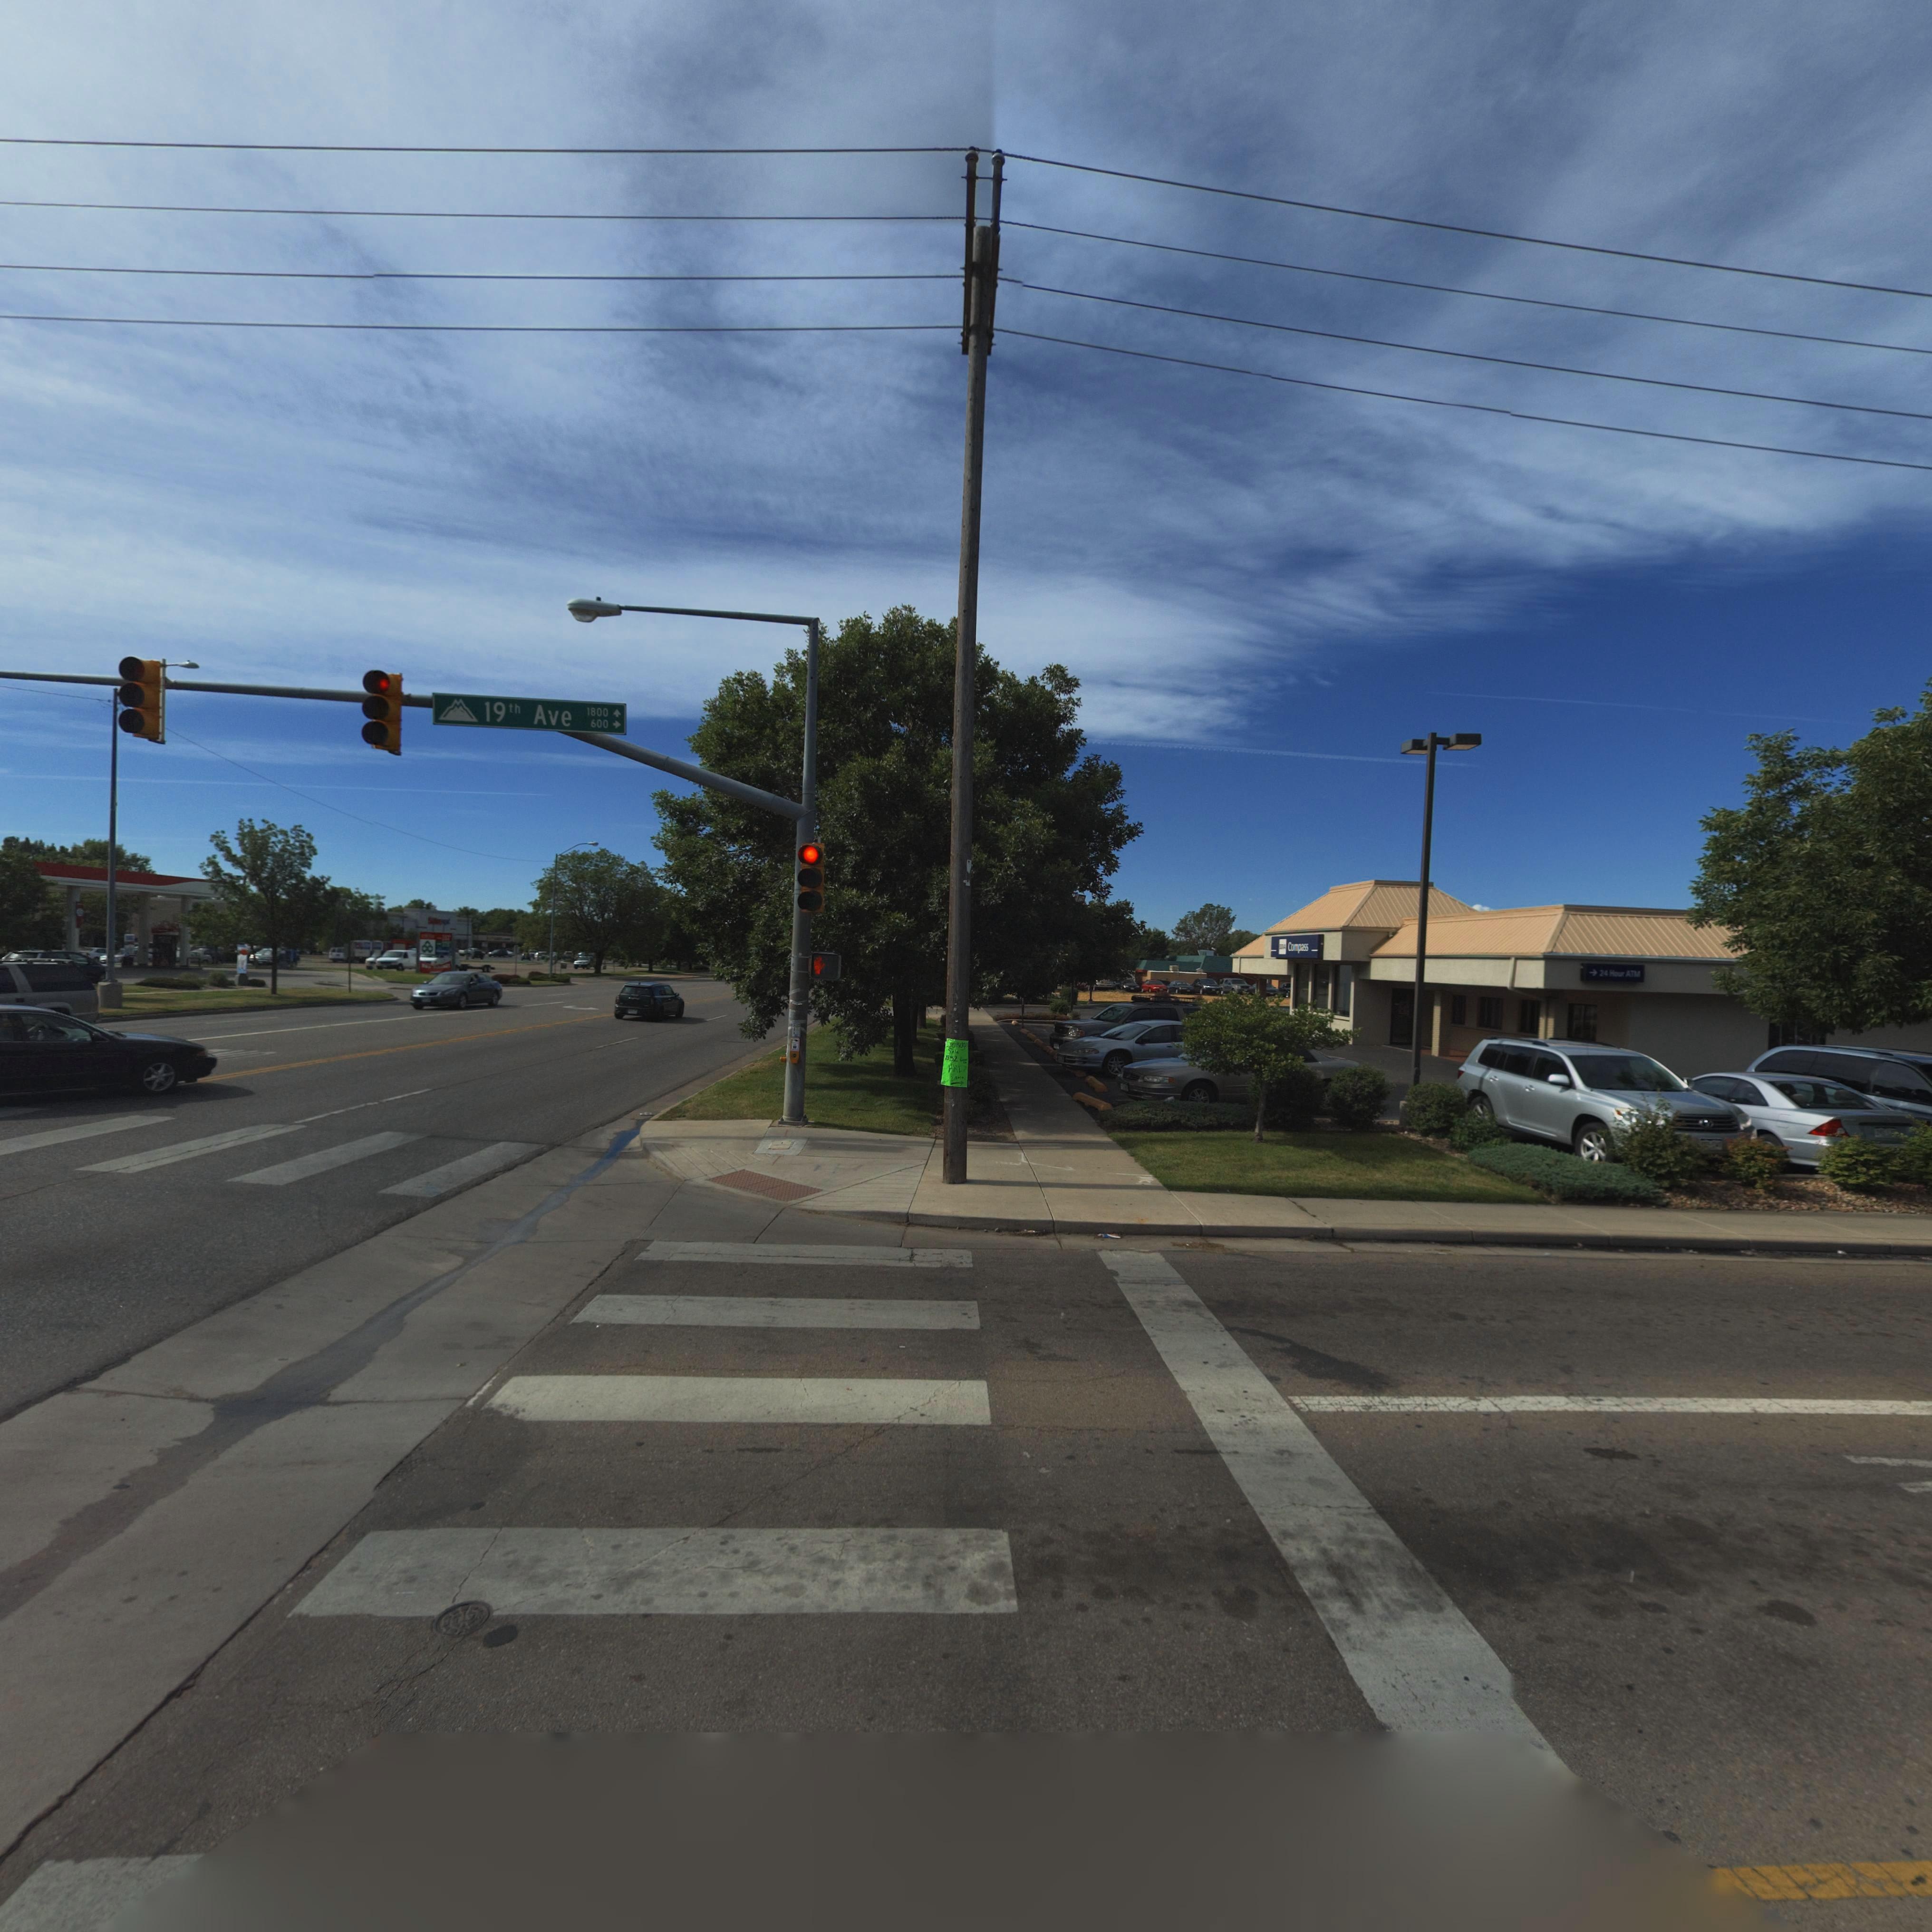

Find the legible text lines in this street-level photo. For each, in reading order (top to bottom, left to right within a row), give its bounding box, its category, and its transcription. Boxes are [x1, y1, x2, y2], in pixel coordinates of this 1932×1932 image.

[483, 699, 572, 728] StreetName: 19th Ave
[586, 707, 609, 716] StreetNumberRange: 1800
[590, 718, 622, 729] StreetNumberRange: 600 ->
[1278, 944, 1286, 949] BusinessName: ***A
[1287, 941, 1309, 953] BusinessName: Compass